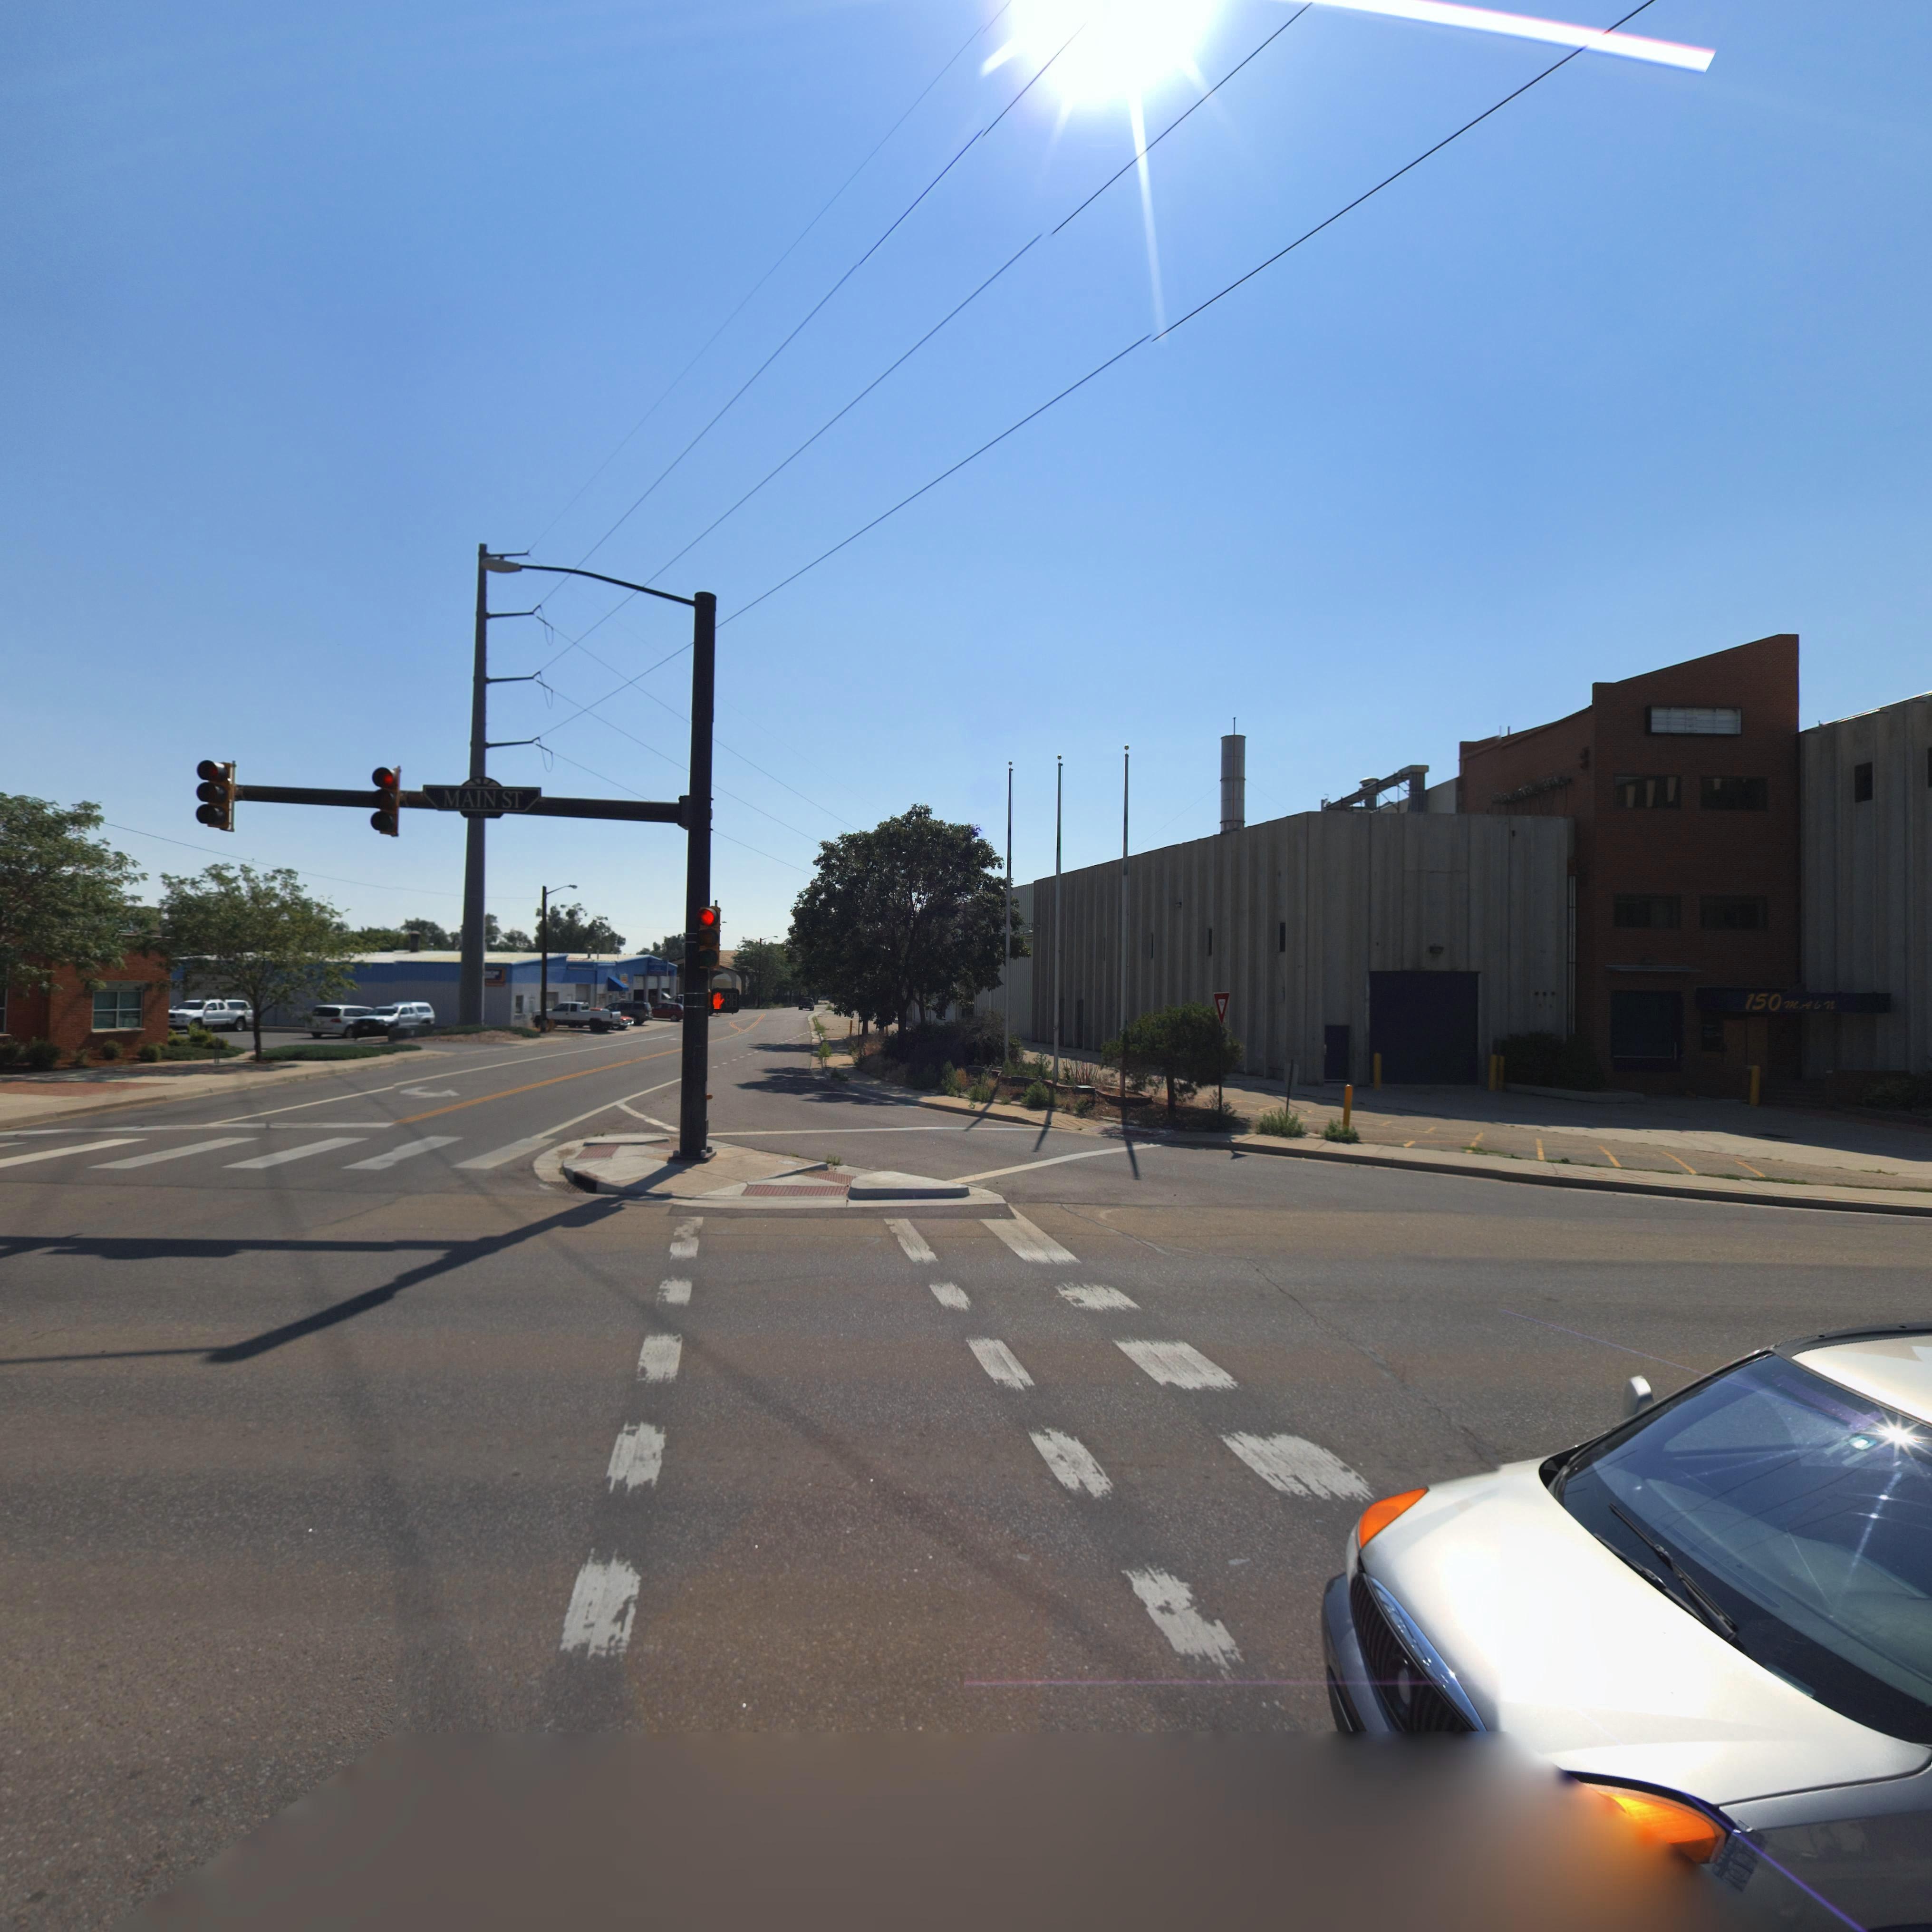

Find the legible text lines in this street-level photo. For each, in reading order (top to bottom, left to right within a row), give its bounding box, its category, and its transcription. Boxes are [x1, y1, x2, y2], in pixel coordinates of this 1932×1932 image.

[443, 788, 523, 809] StreetName: MAIN ST
[1744, 992, 1782, 1012] StreetNumber: 150
[1783, 999, 1836, 1010] StreetName: MAIN